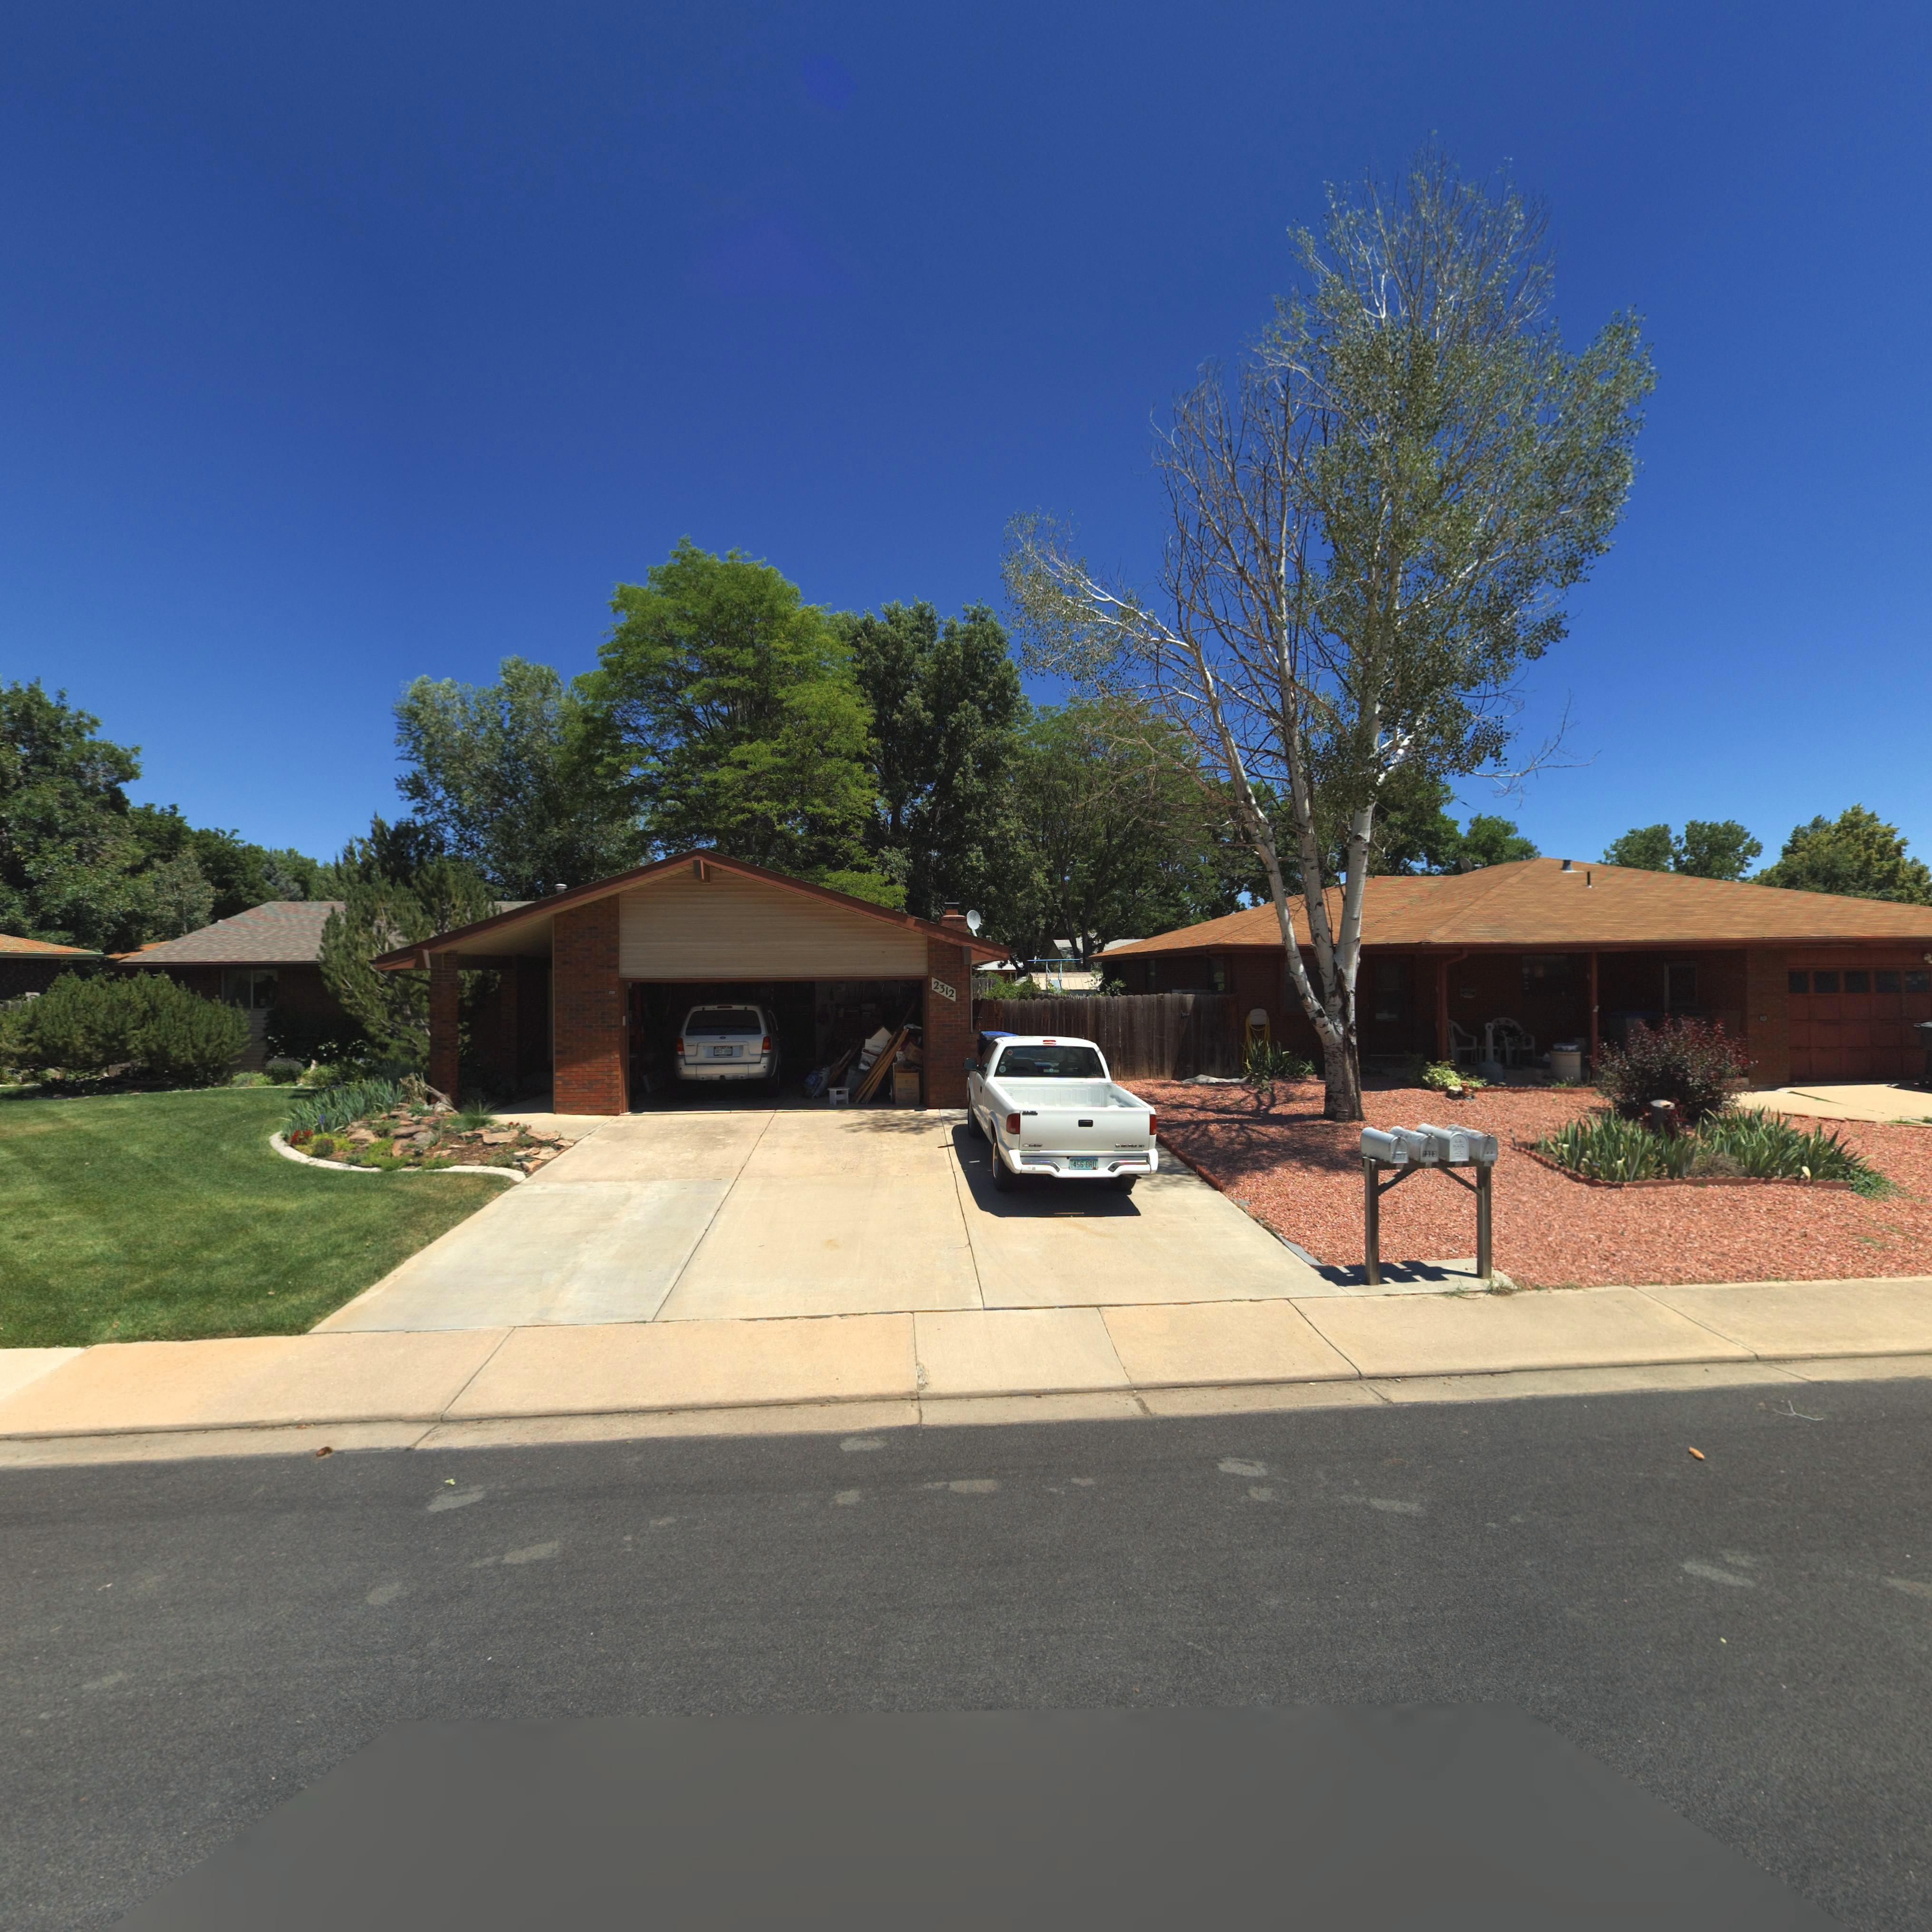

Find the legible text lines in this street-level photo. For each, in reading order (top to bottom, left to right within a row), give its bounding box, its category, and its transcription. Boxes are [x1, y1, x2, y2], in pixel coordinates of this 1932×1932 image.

[933, 980, 954, 998] StreetNumber: 2312
[1422, 1150, 1436, 1157] StreetNumber: 2313